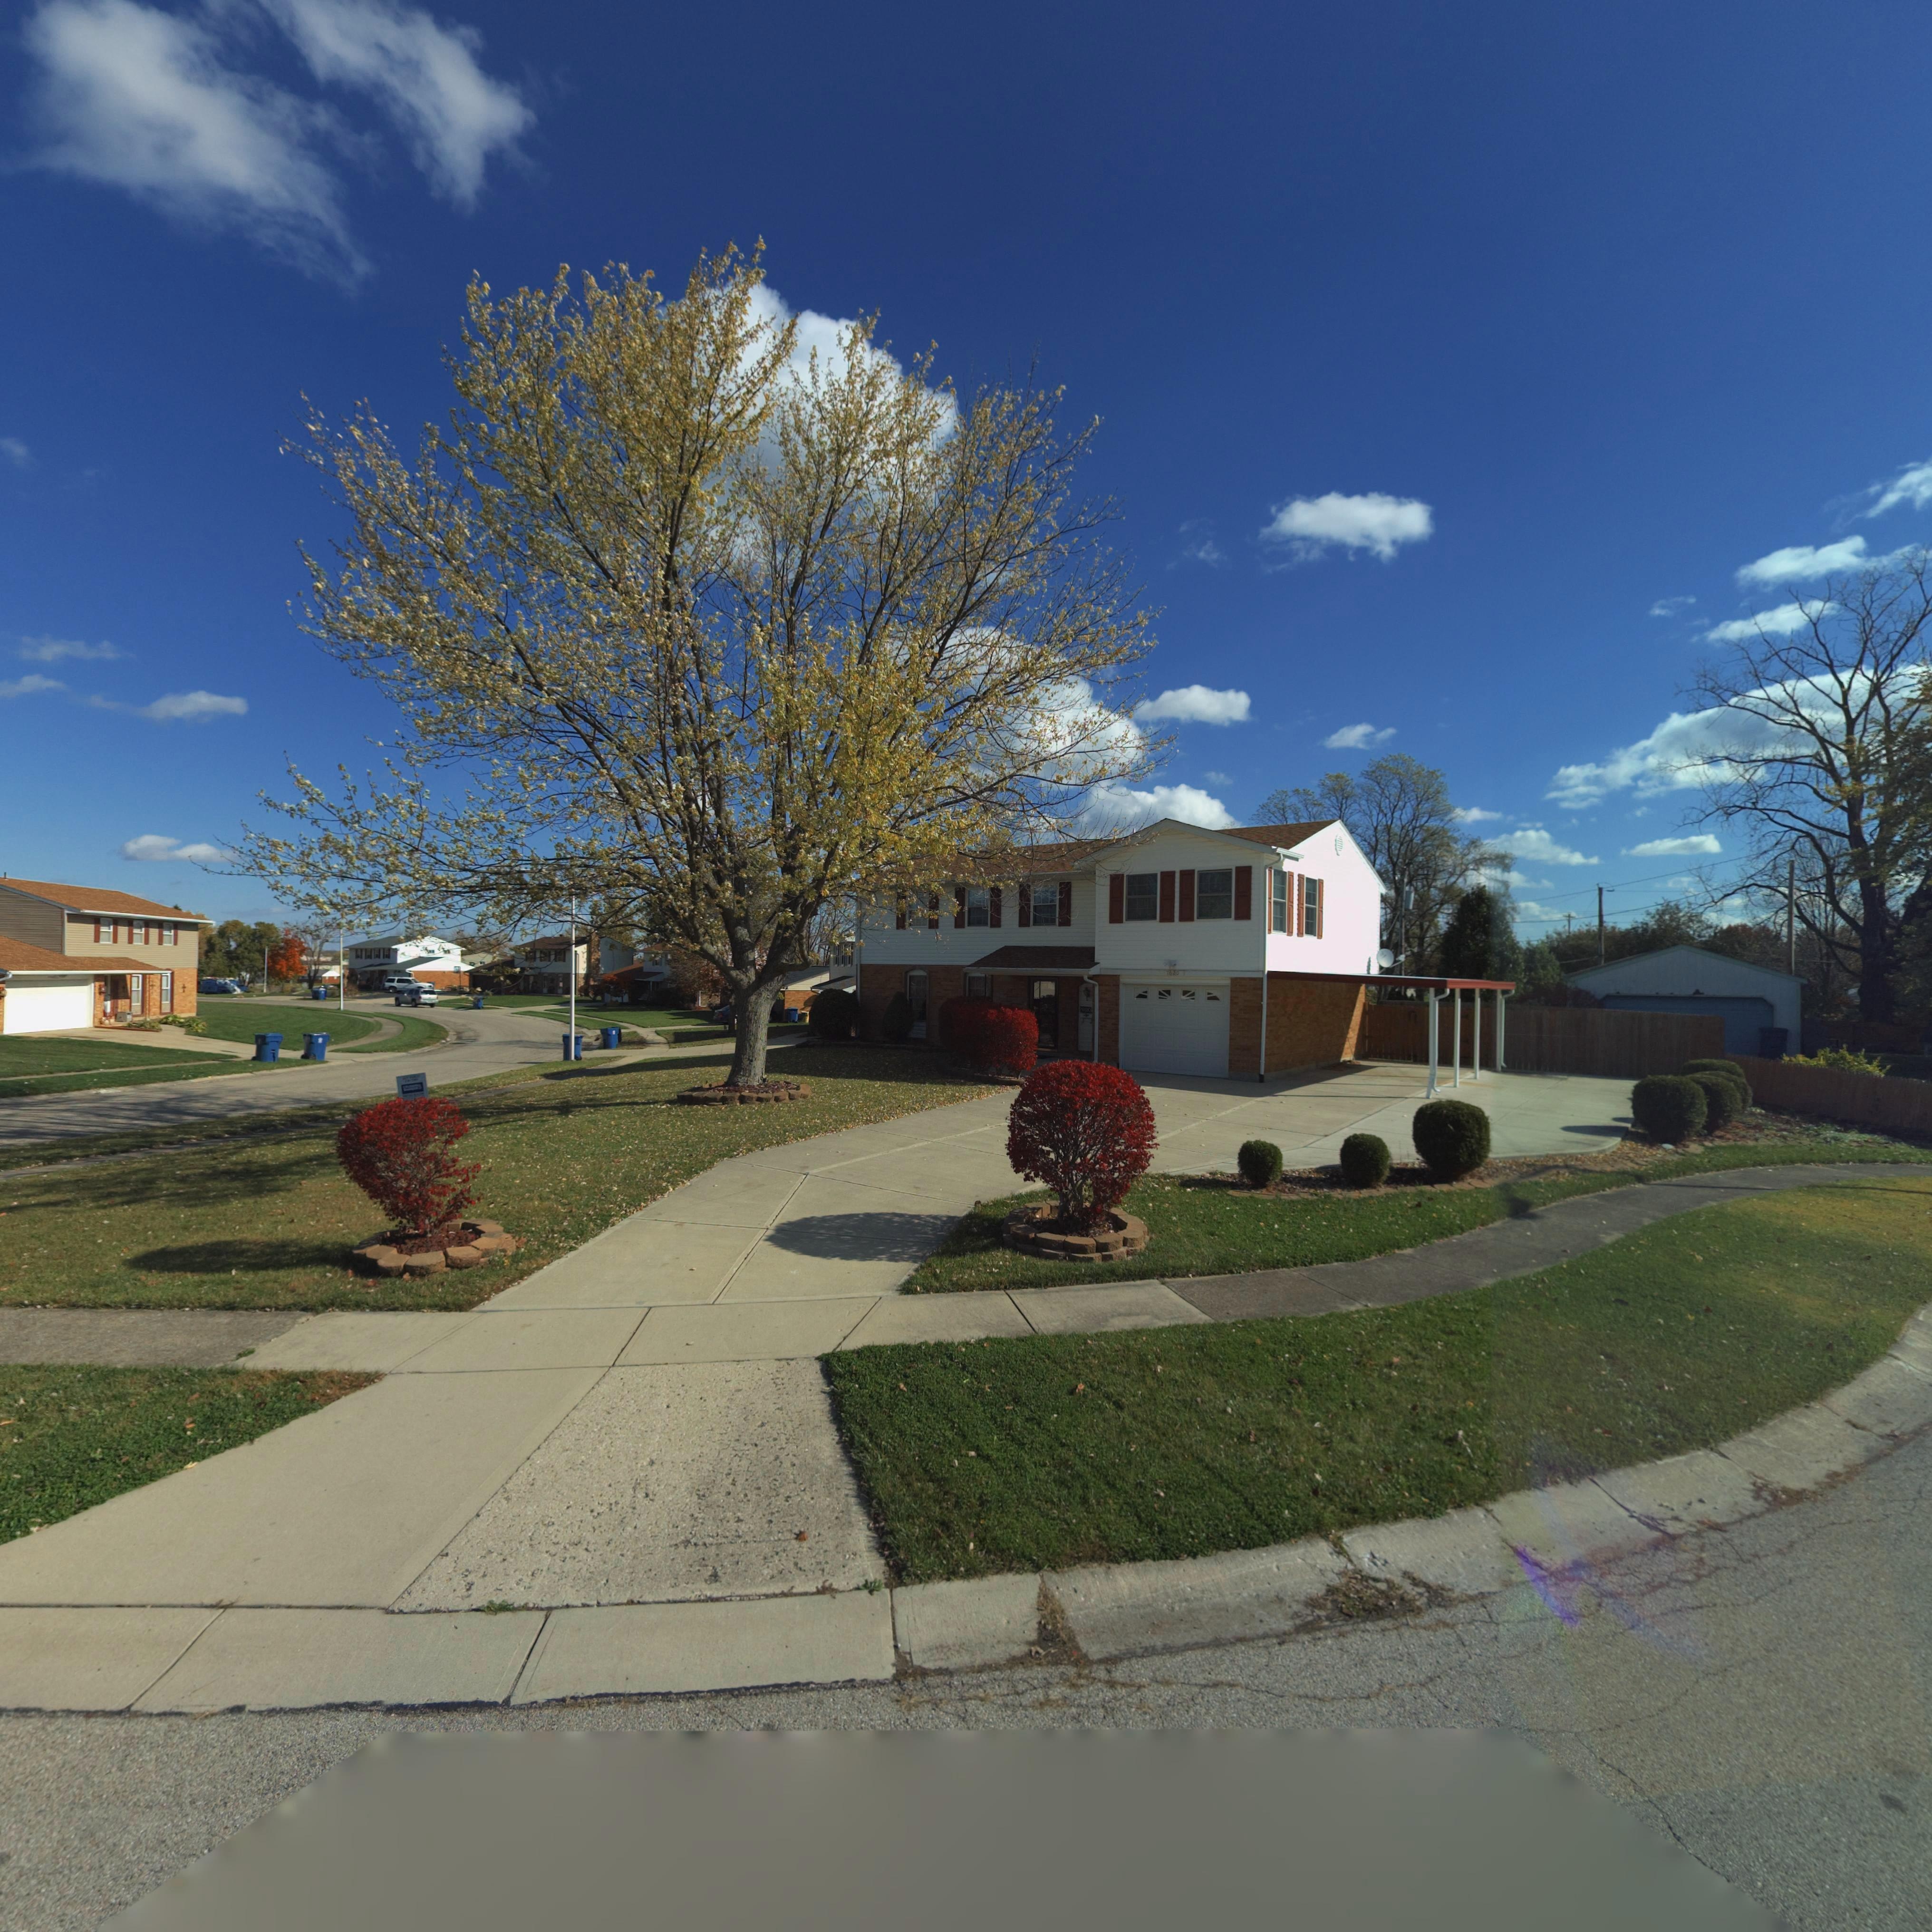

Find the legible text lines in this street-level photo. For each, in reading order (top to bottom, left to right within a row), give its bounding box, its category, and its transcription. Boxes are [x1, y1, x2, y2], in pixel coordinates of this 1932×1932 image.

[1165, 970, 1180, 976] StreetNumber: 7620
[1078, 1006, 1092, 1013] StreetNumber: **20